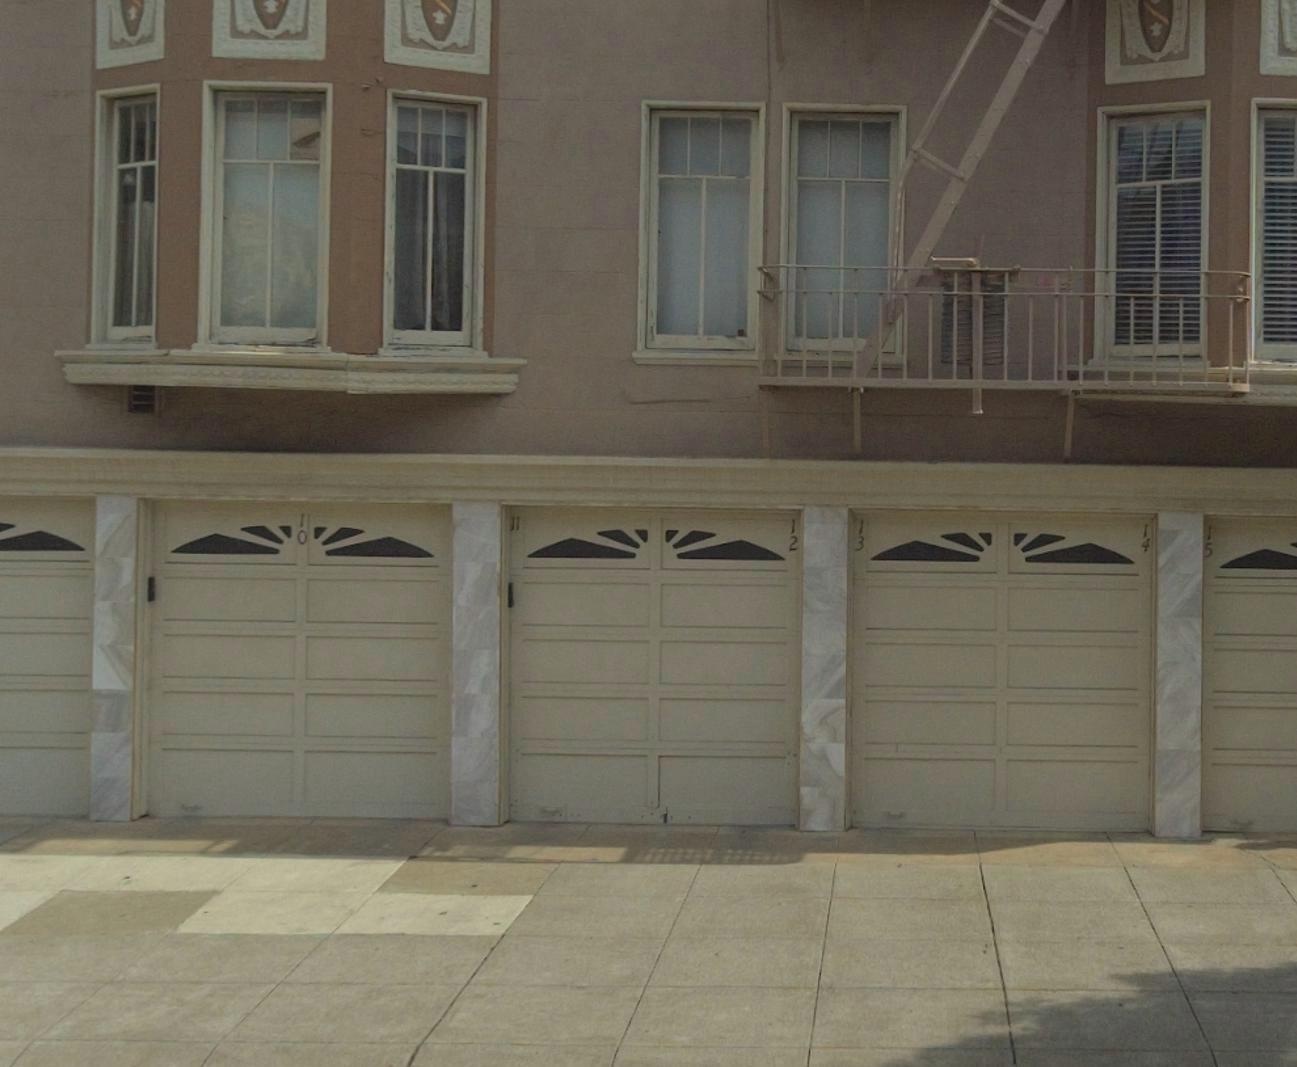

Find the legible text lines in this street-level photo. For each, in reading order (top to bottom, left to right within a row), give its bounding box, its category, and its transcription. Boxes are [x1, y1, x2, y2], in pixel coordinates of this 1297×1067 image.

[295, 512, 309, 547] StreetNumber: 10
[508, 514, 522, 533] StreetNumber: 11
[786, 517, 800, 554] StreetNumber: 12
[853, 517, 866, 554] StreetNumber: 13
[1139, 522, 1153, 554] StreetNumber: 14
[1202, 523, 1215, 561] StreetNumber: 15